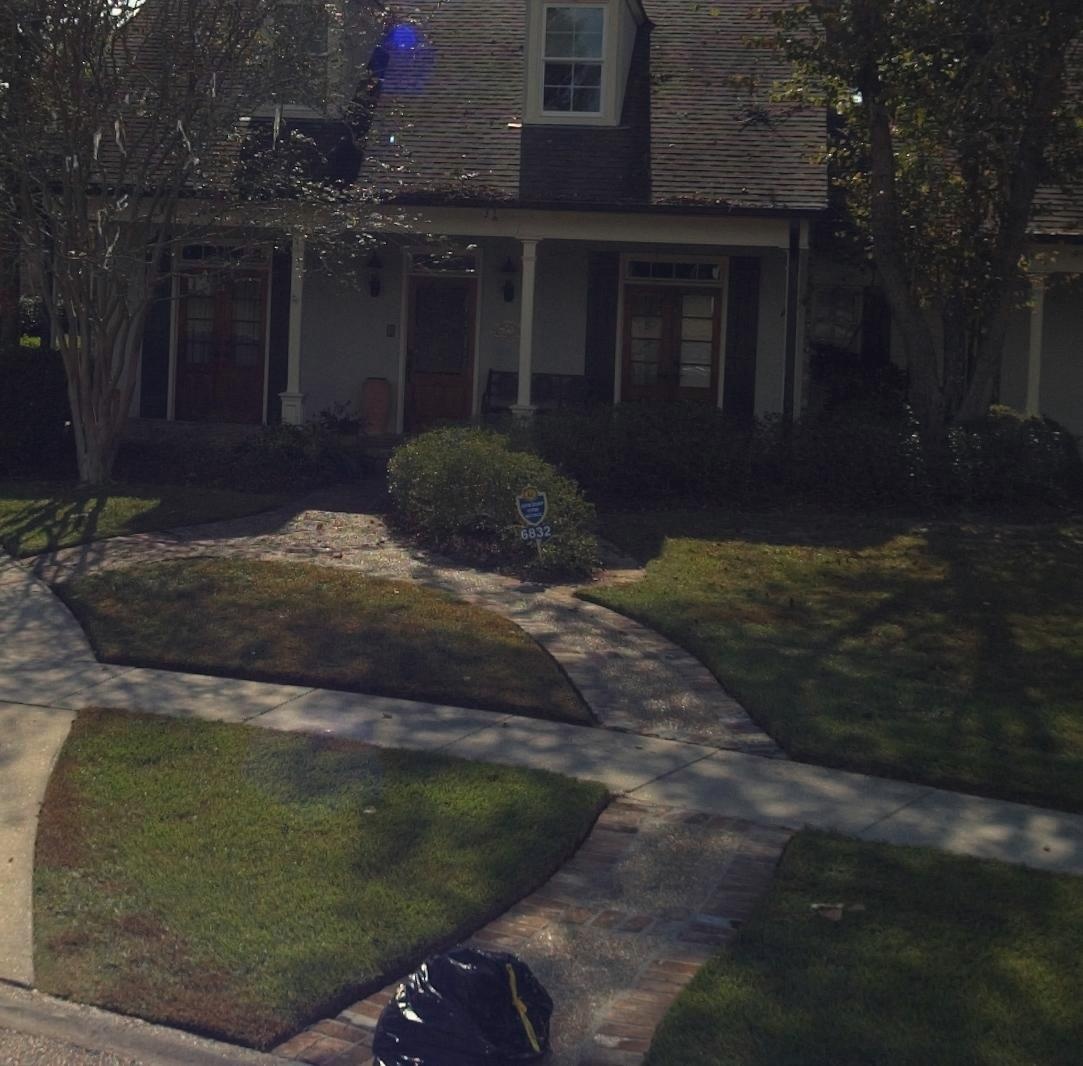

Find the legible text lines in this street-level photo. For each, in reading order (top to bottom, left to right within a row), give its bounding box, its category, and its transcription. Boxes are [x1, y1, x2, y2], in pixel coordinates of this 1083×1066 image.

[521, 525, 552, 540] StreetNumber: 6832